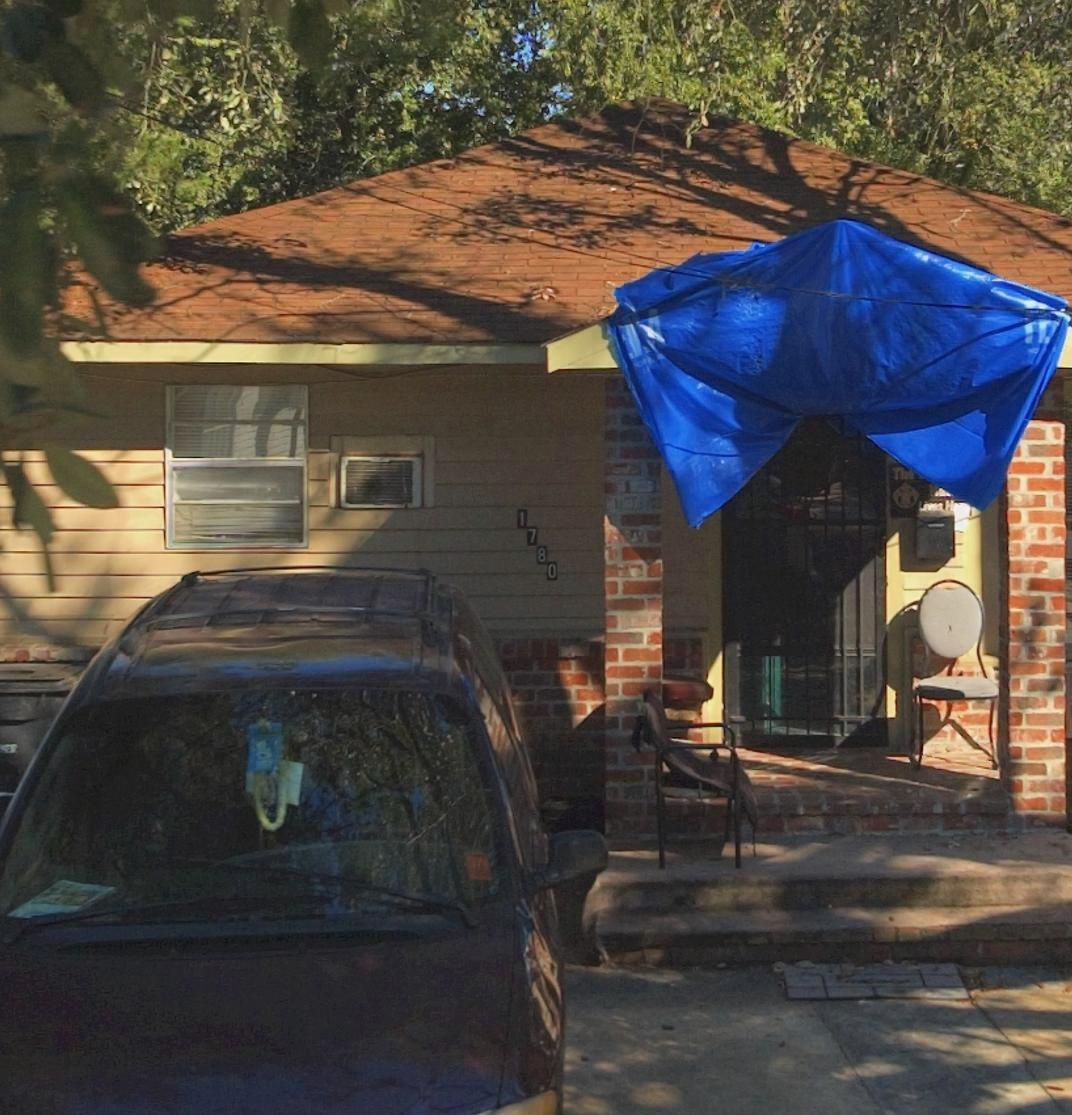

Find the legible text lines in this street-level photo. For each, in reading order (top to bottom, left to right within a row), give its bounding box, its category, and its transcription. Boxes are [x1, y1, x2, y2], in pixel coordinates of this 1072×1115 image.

[891, 465, 916, 481] None: The
[519, 510, 559, 581] StreetNumber: 1780